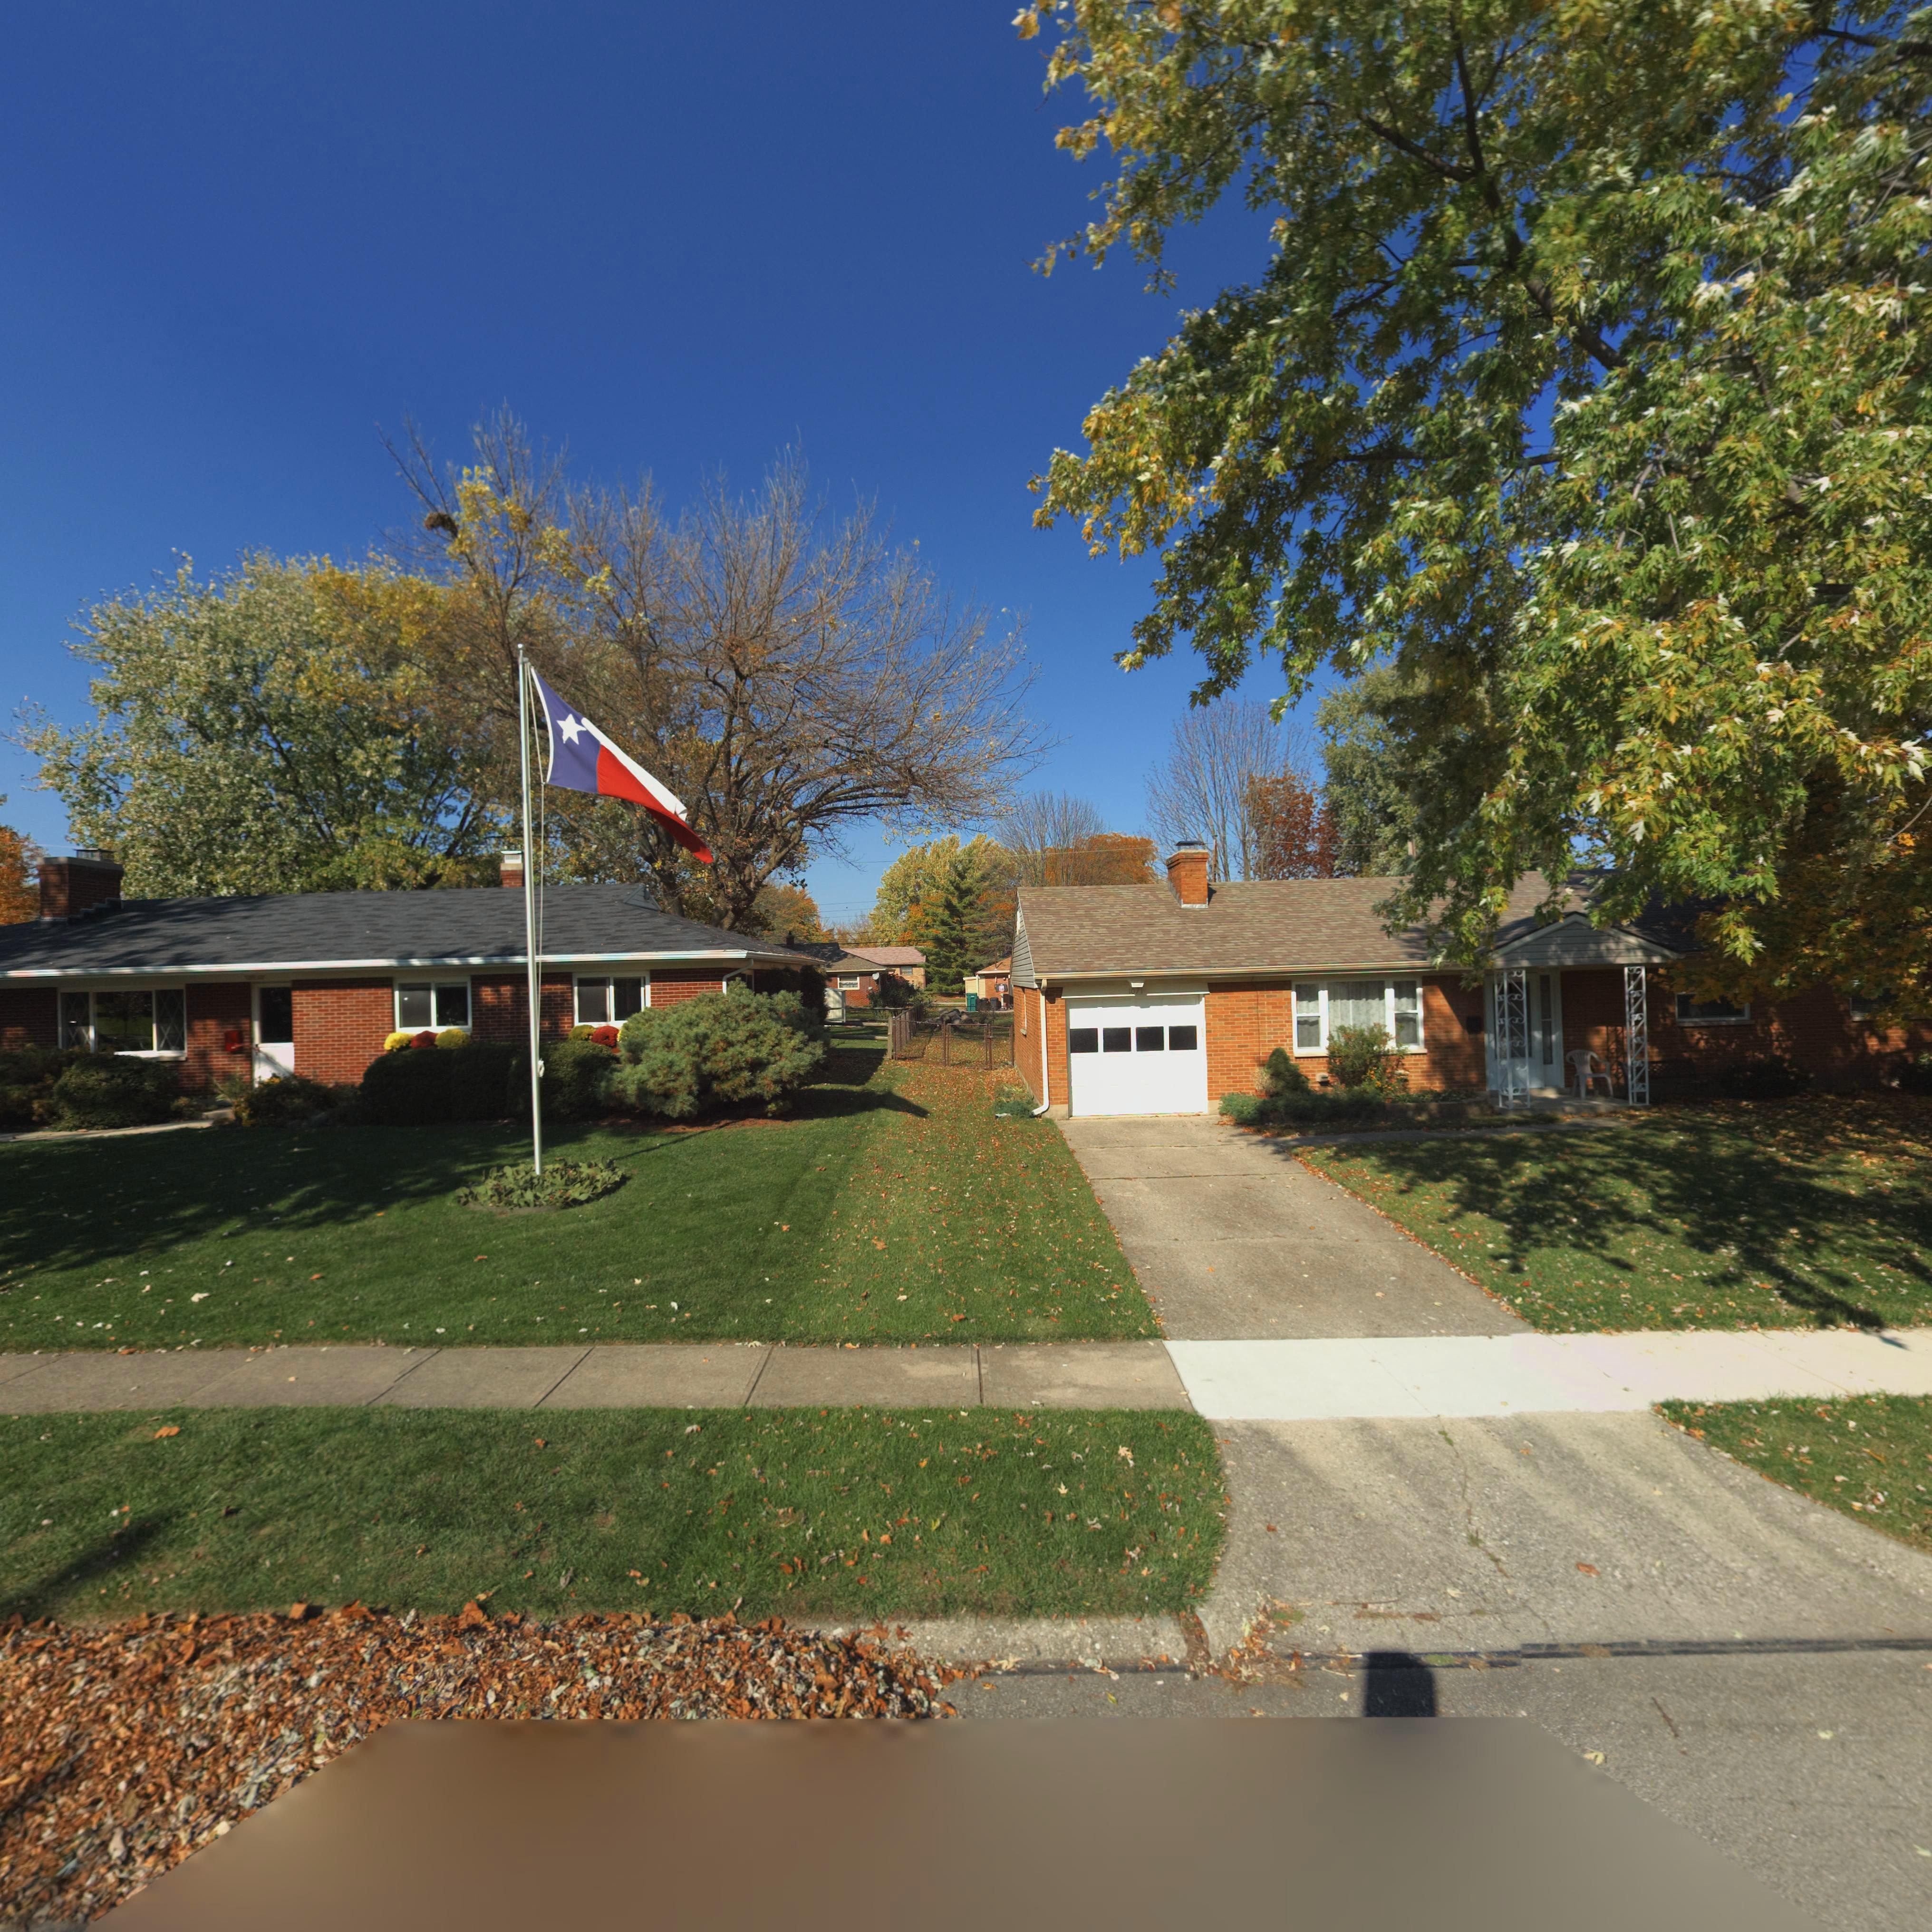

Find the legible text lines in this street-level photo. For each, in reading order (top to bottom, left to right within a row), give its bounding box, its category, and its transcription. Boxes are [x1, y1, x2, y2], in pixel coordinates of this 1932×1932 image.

[1128, 987, 1143, 995] StreetNumber: 1071